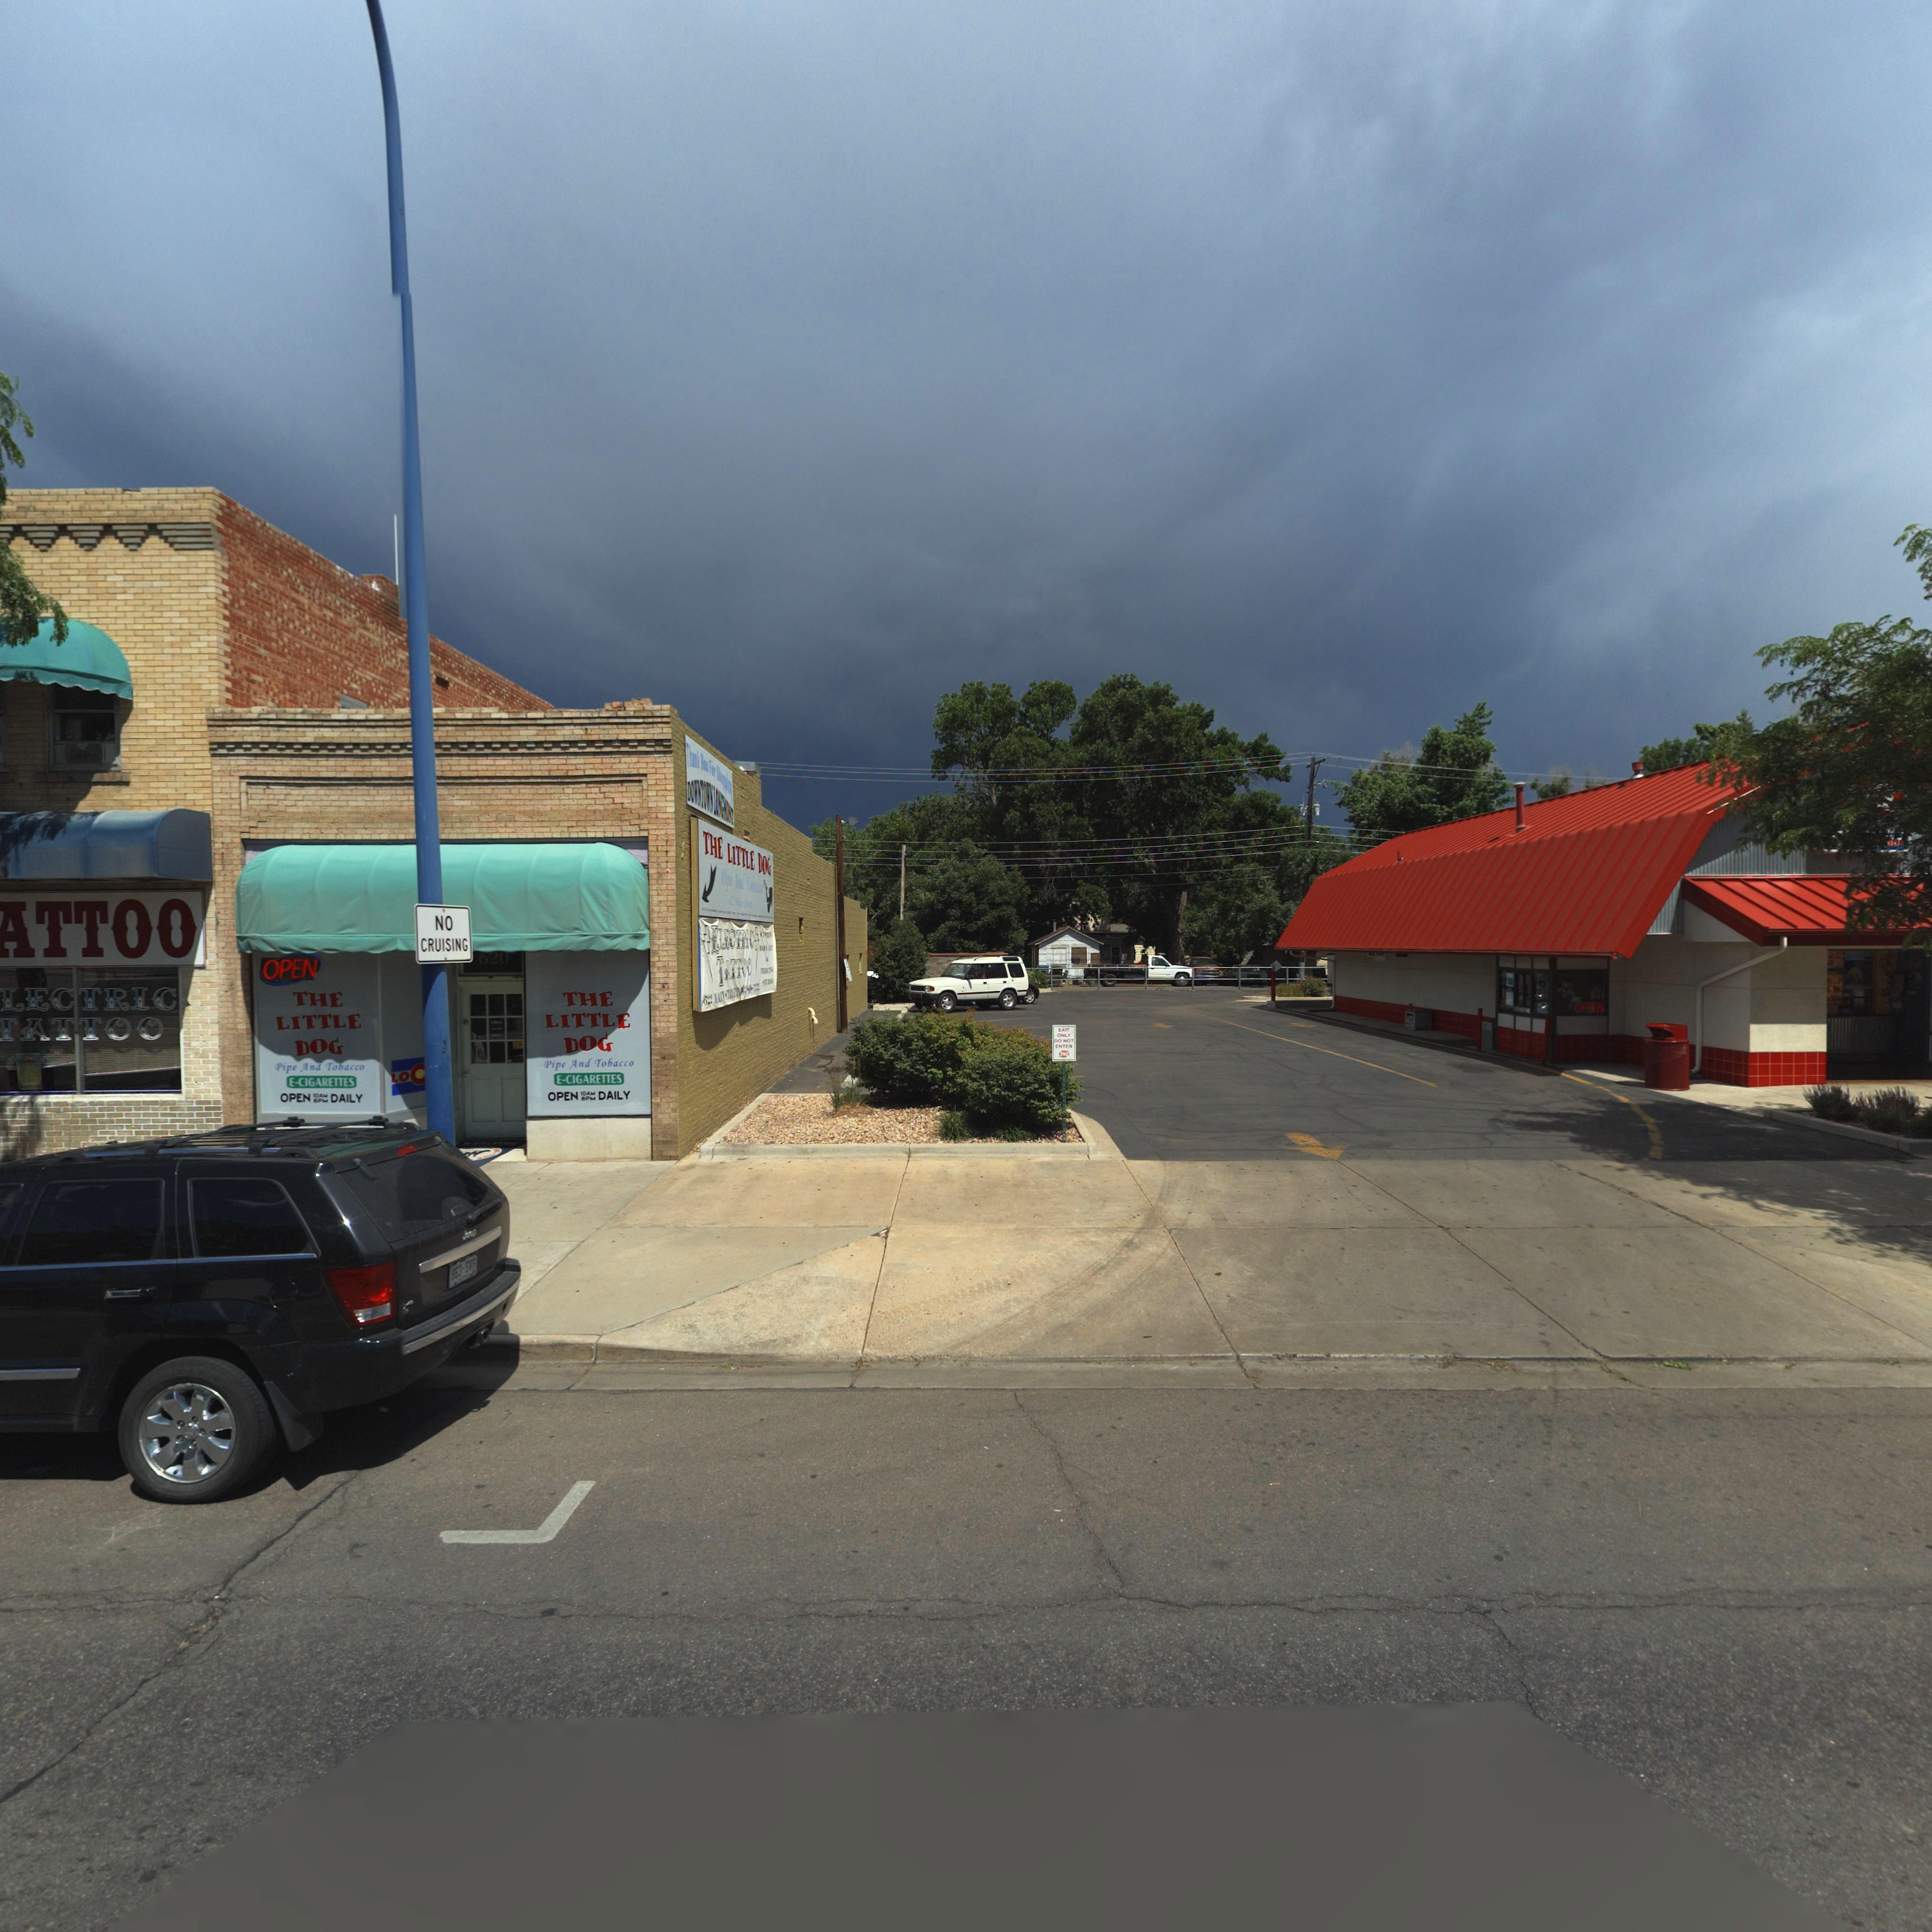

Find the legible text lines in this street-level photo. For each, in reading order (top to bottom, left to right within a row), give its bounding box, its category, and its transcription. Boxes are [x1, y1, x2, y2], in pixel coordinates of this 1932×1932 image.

[702, 829, 772, 877] BusinessName: THE LITTLE DOG
[710, 925, 754, 954] BusinessName: ELECTRIC
[477, 949, 509, 965] StreetNumber: 620
[715, 955, 753, 987] BusinessName: TATOO
[0, 986, 177, 1013] BusinessName: LECTRIC
[291, 990, 345, 1008] BusinessName: THE
[562, 990, 613, 1008] BusinessName: THE
[703, 993, 713, 1006] StreetNumber: 6*2
[713, 987, 740, 1004] StreetName: M*I* ST****
[18, 1016, 164, 1042] BusinessName: ATTOO
[275, 1012, 362, 1031] BusinessName: LITTLE
[544, 1011, 630, 1030] BusinessName: LITTLE
[293, 1035, 345, 1056] BusinessName: DOG
[562, 1032, 614, 1053] BusinessName: DOG
[1060, 1051, 1068, 1056] StreetNumber: DQ